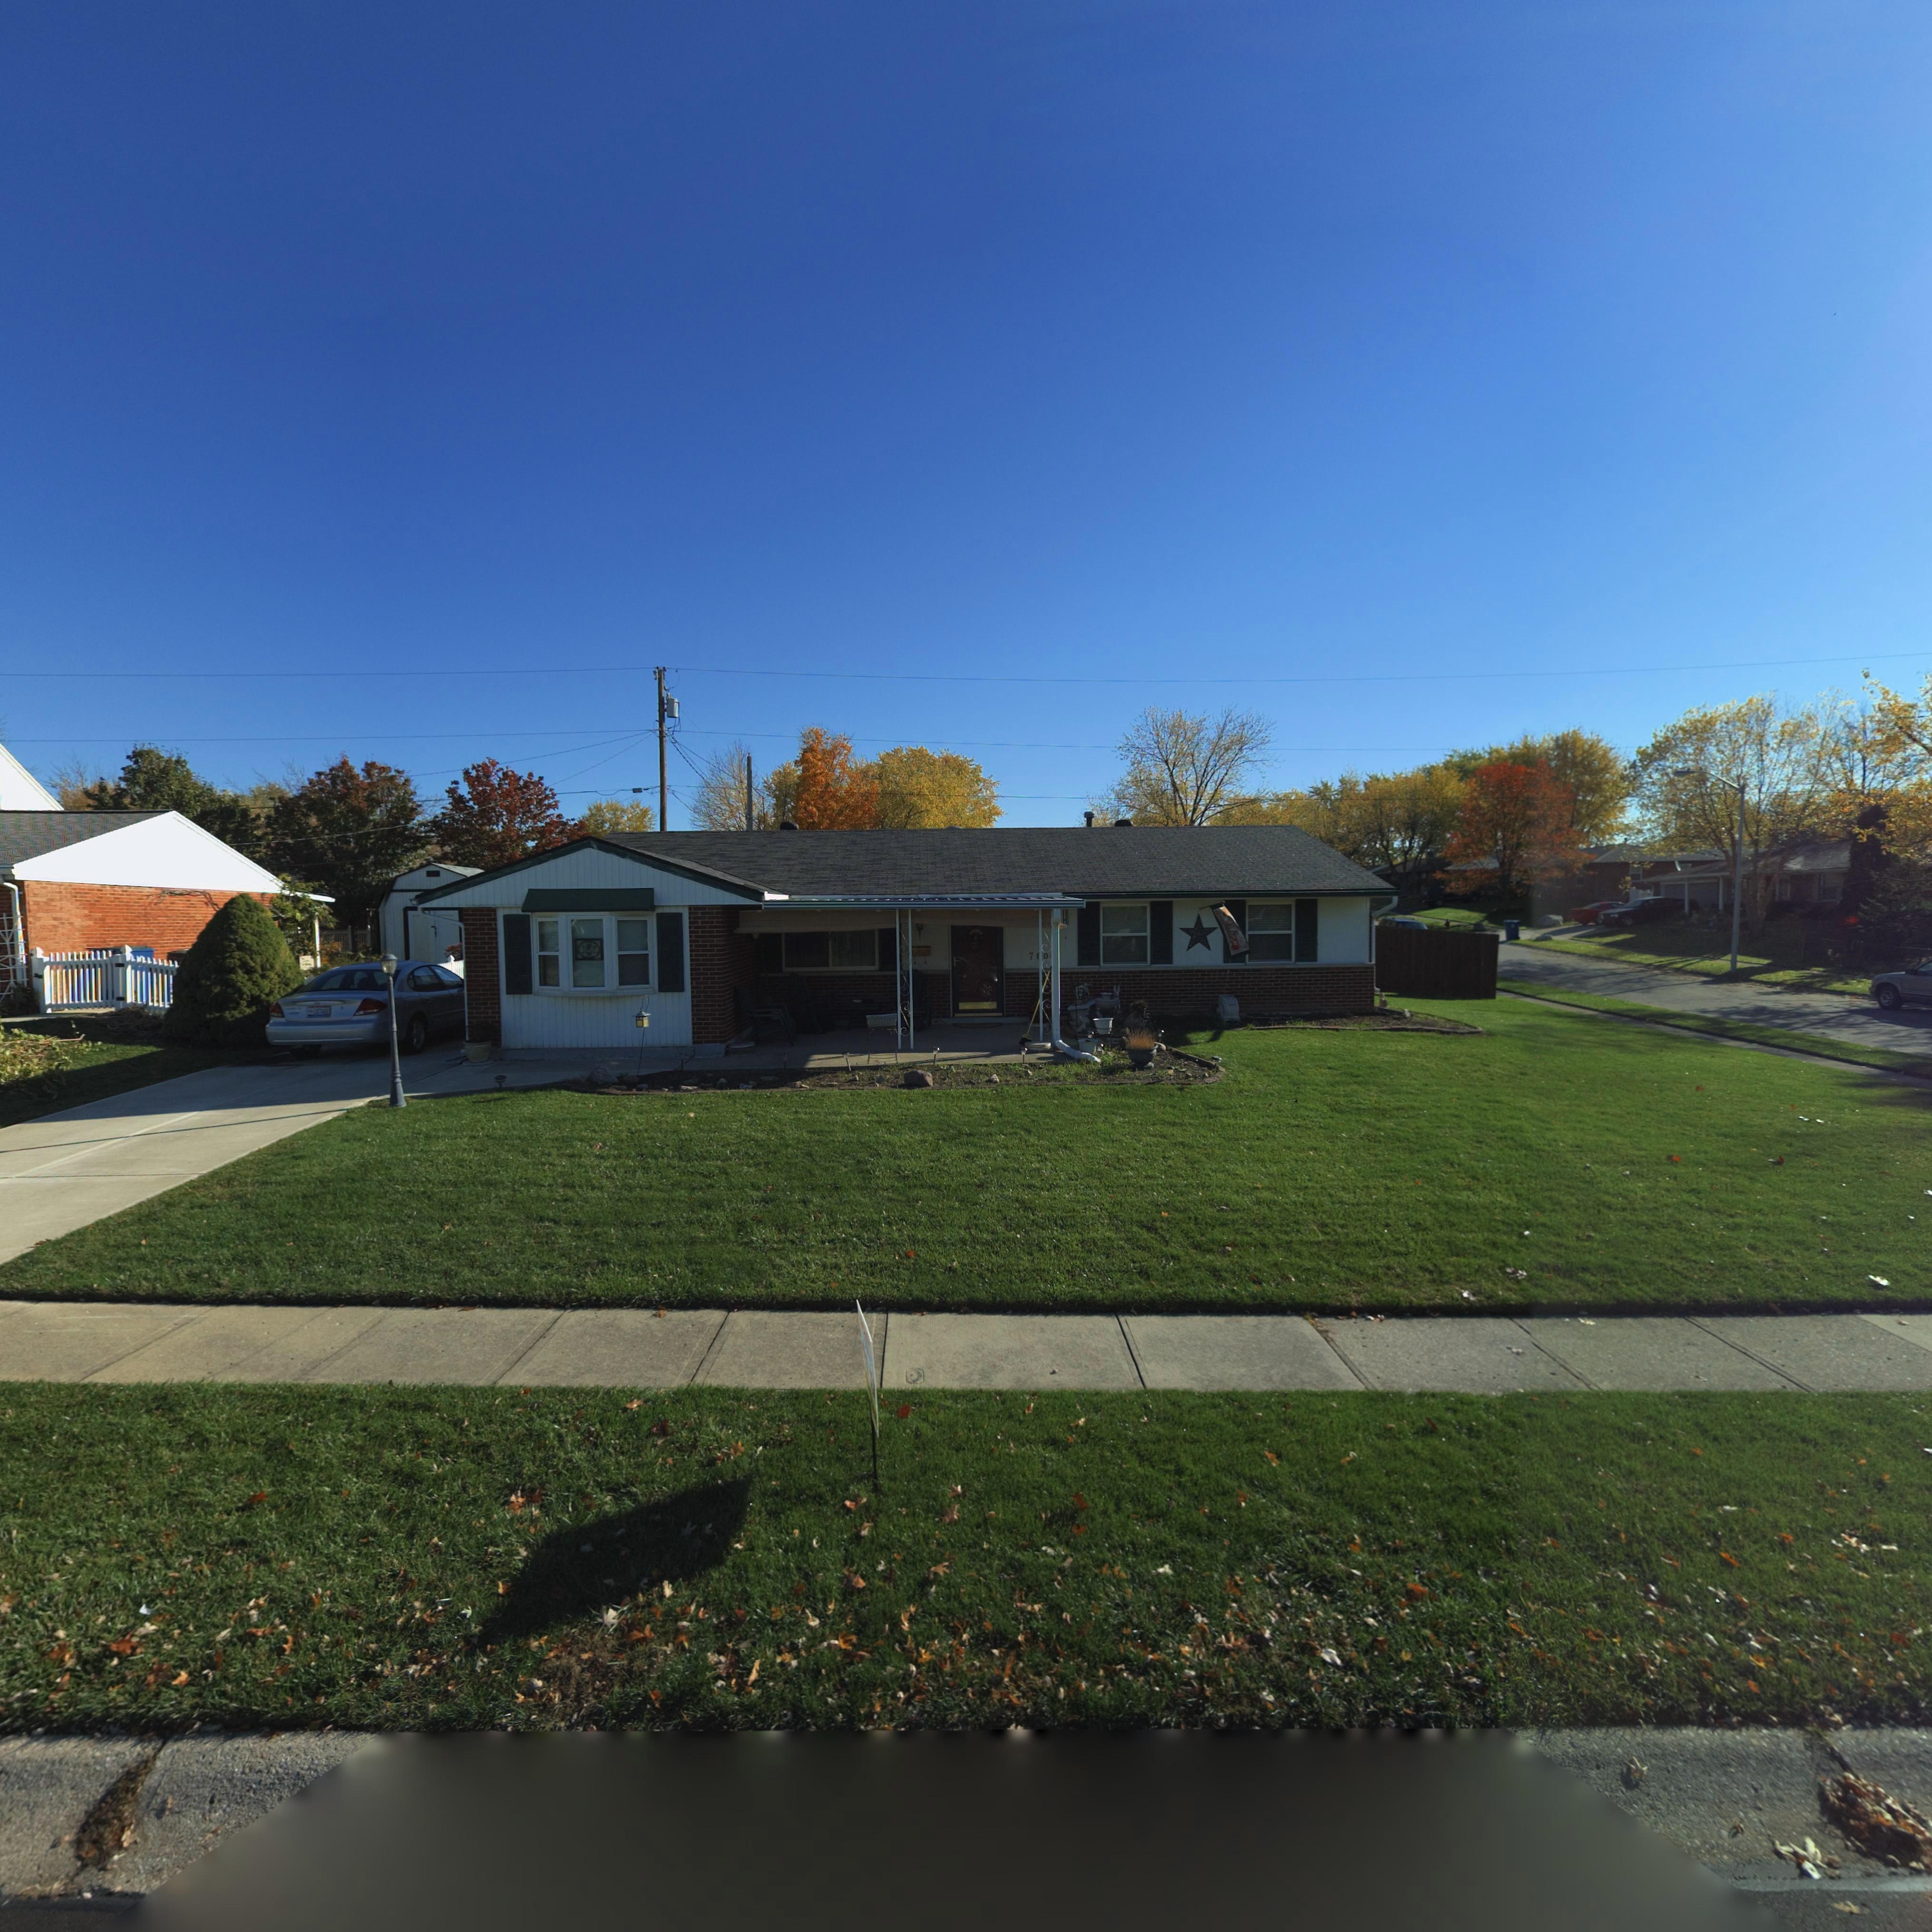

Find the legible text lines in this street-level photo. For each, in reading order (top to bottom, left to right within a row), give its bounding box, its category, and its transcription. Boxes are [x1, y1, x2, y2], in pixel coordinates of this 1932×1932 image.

[1028, 951, 1049, 961] StreetNumber: 7*0